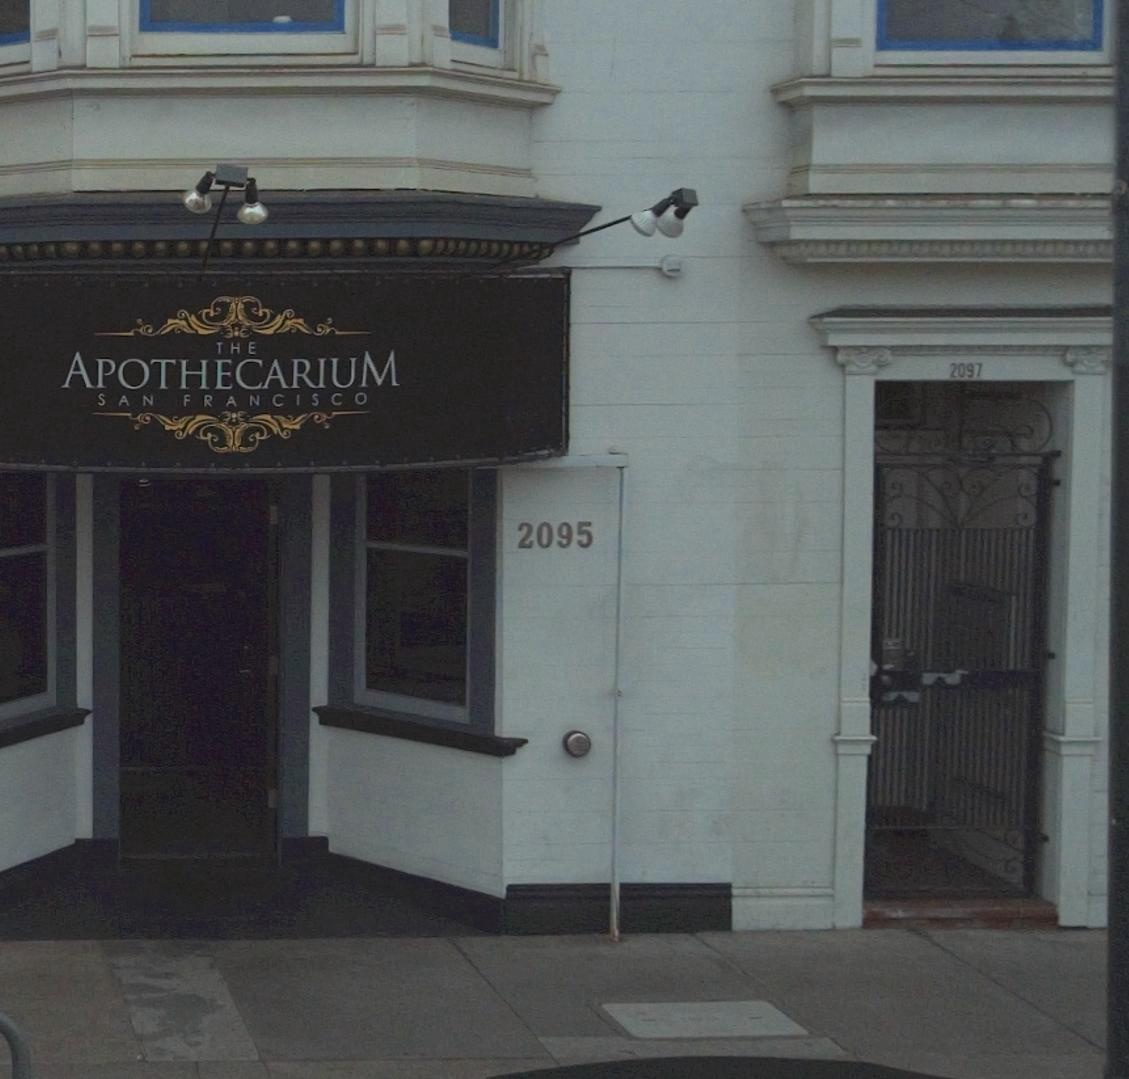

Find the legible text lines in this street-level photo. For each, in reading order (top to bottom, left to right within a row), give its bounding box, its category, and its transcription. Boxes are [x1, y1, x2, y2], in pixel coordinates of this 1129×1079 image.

[212, 338, 259, 357] BusinessName: THE
[60, 346, 404, 391] BusinessName: APOTHECARIUM
[95, 390, 370, 408] None: SAN FRANCISCO
[515, 518, 597, 552] StreetNumber: 2095